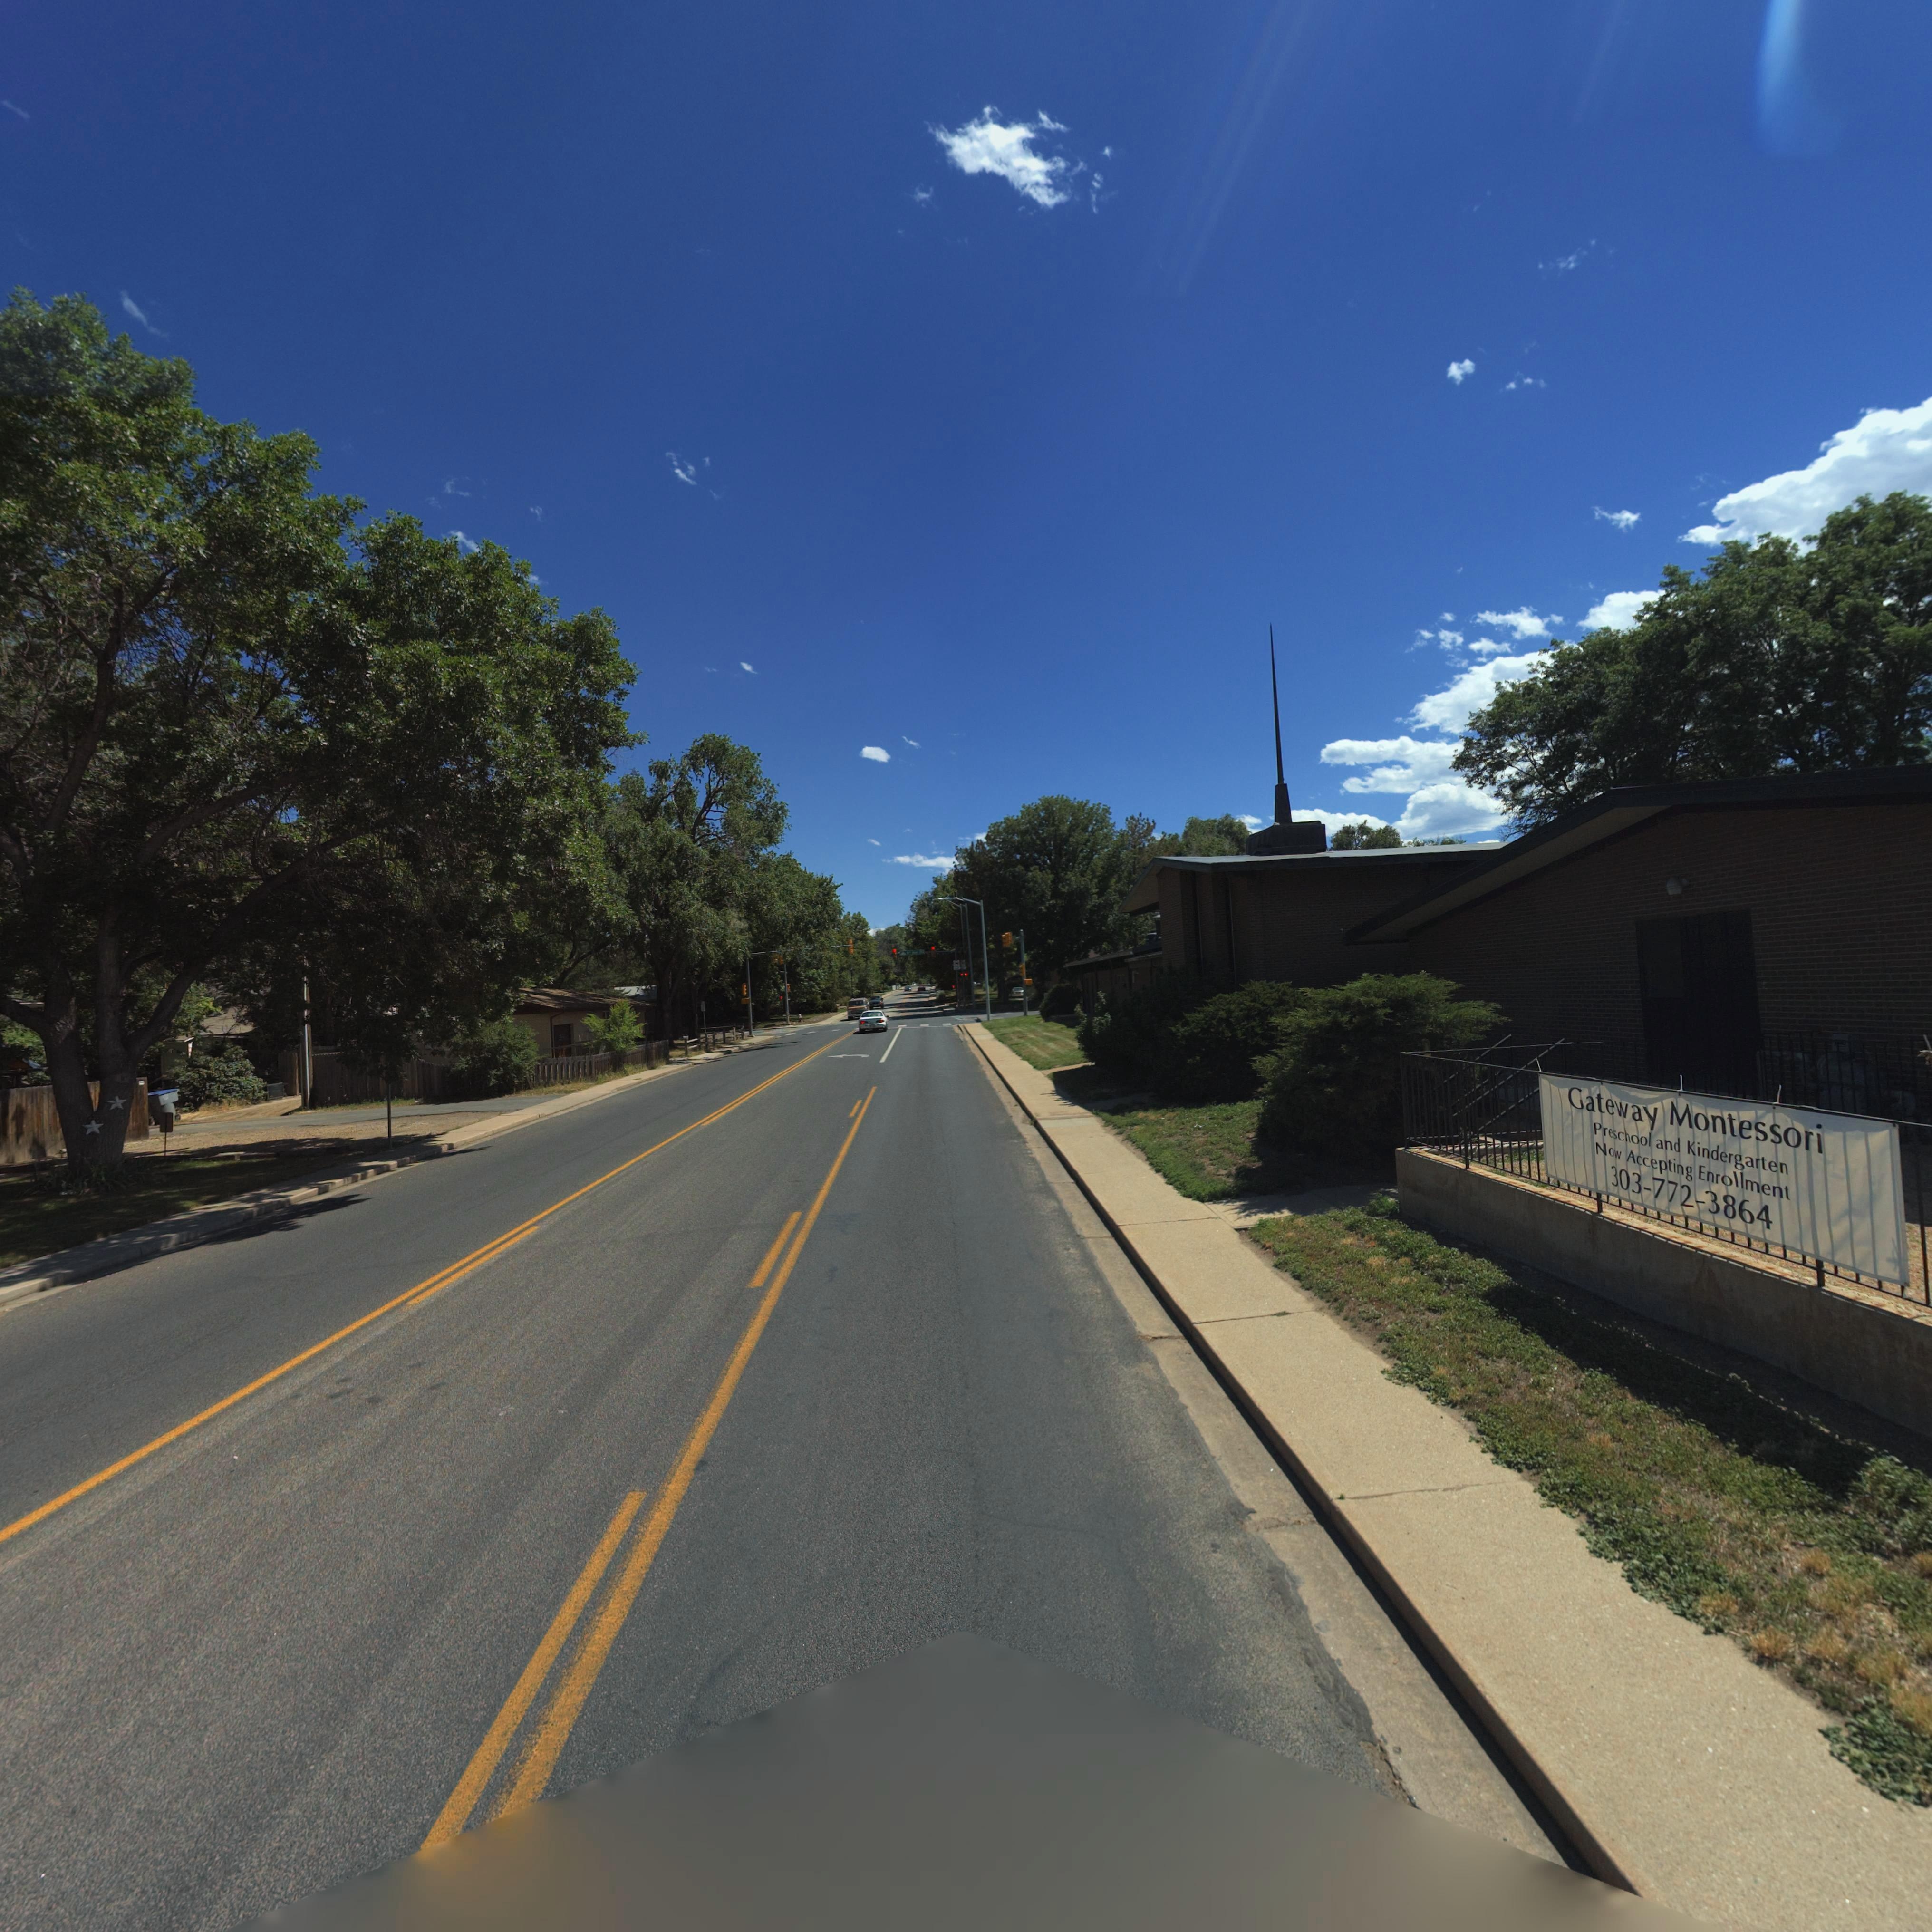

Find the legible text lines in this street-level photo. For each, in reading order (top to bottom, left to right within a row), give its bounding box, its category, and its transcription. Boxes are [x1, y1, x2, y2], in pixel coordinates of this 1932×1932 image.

[1593, 1121, 1788, 1175] BusinessName: Pre*c*ool and Kindergarten
[1567, 1086, 1823, 1154] BusinessName: Gateway Montessori